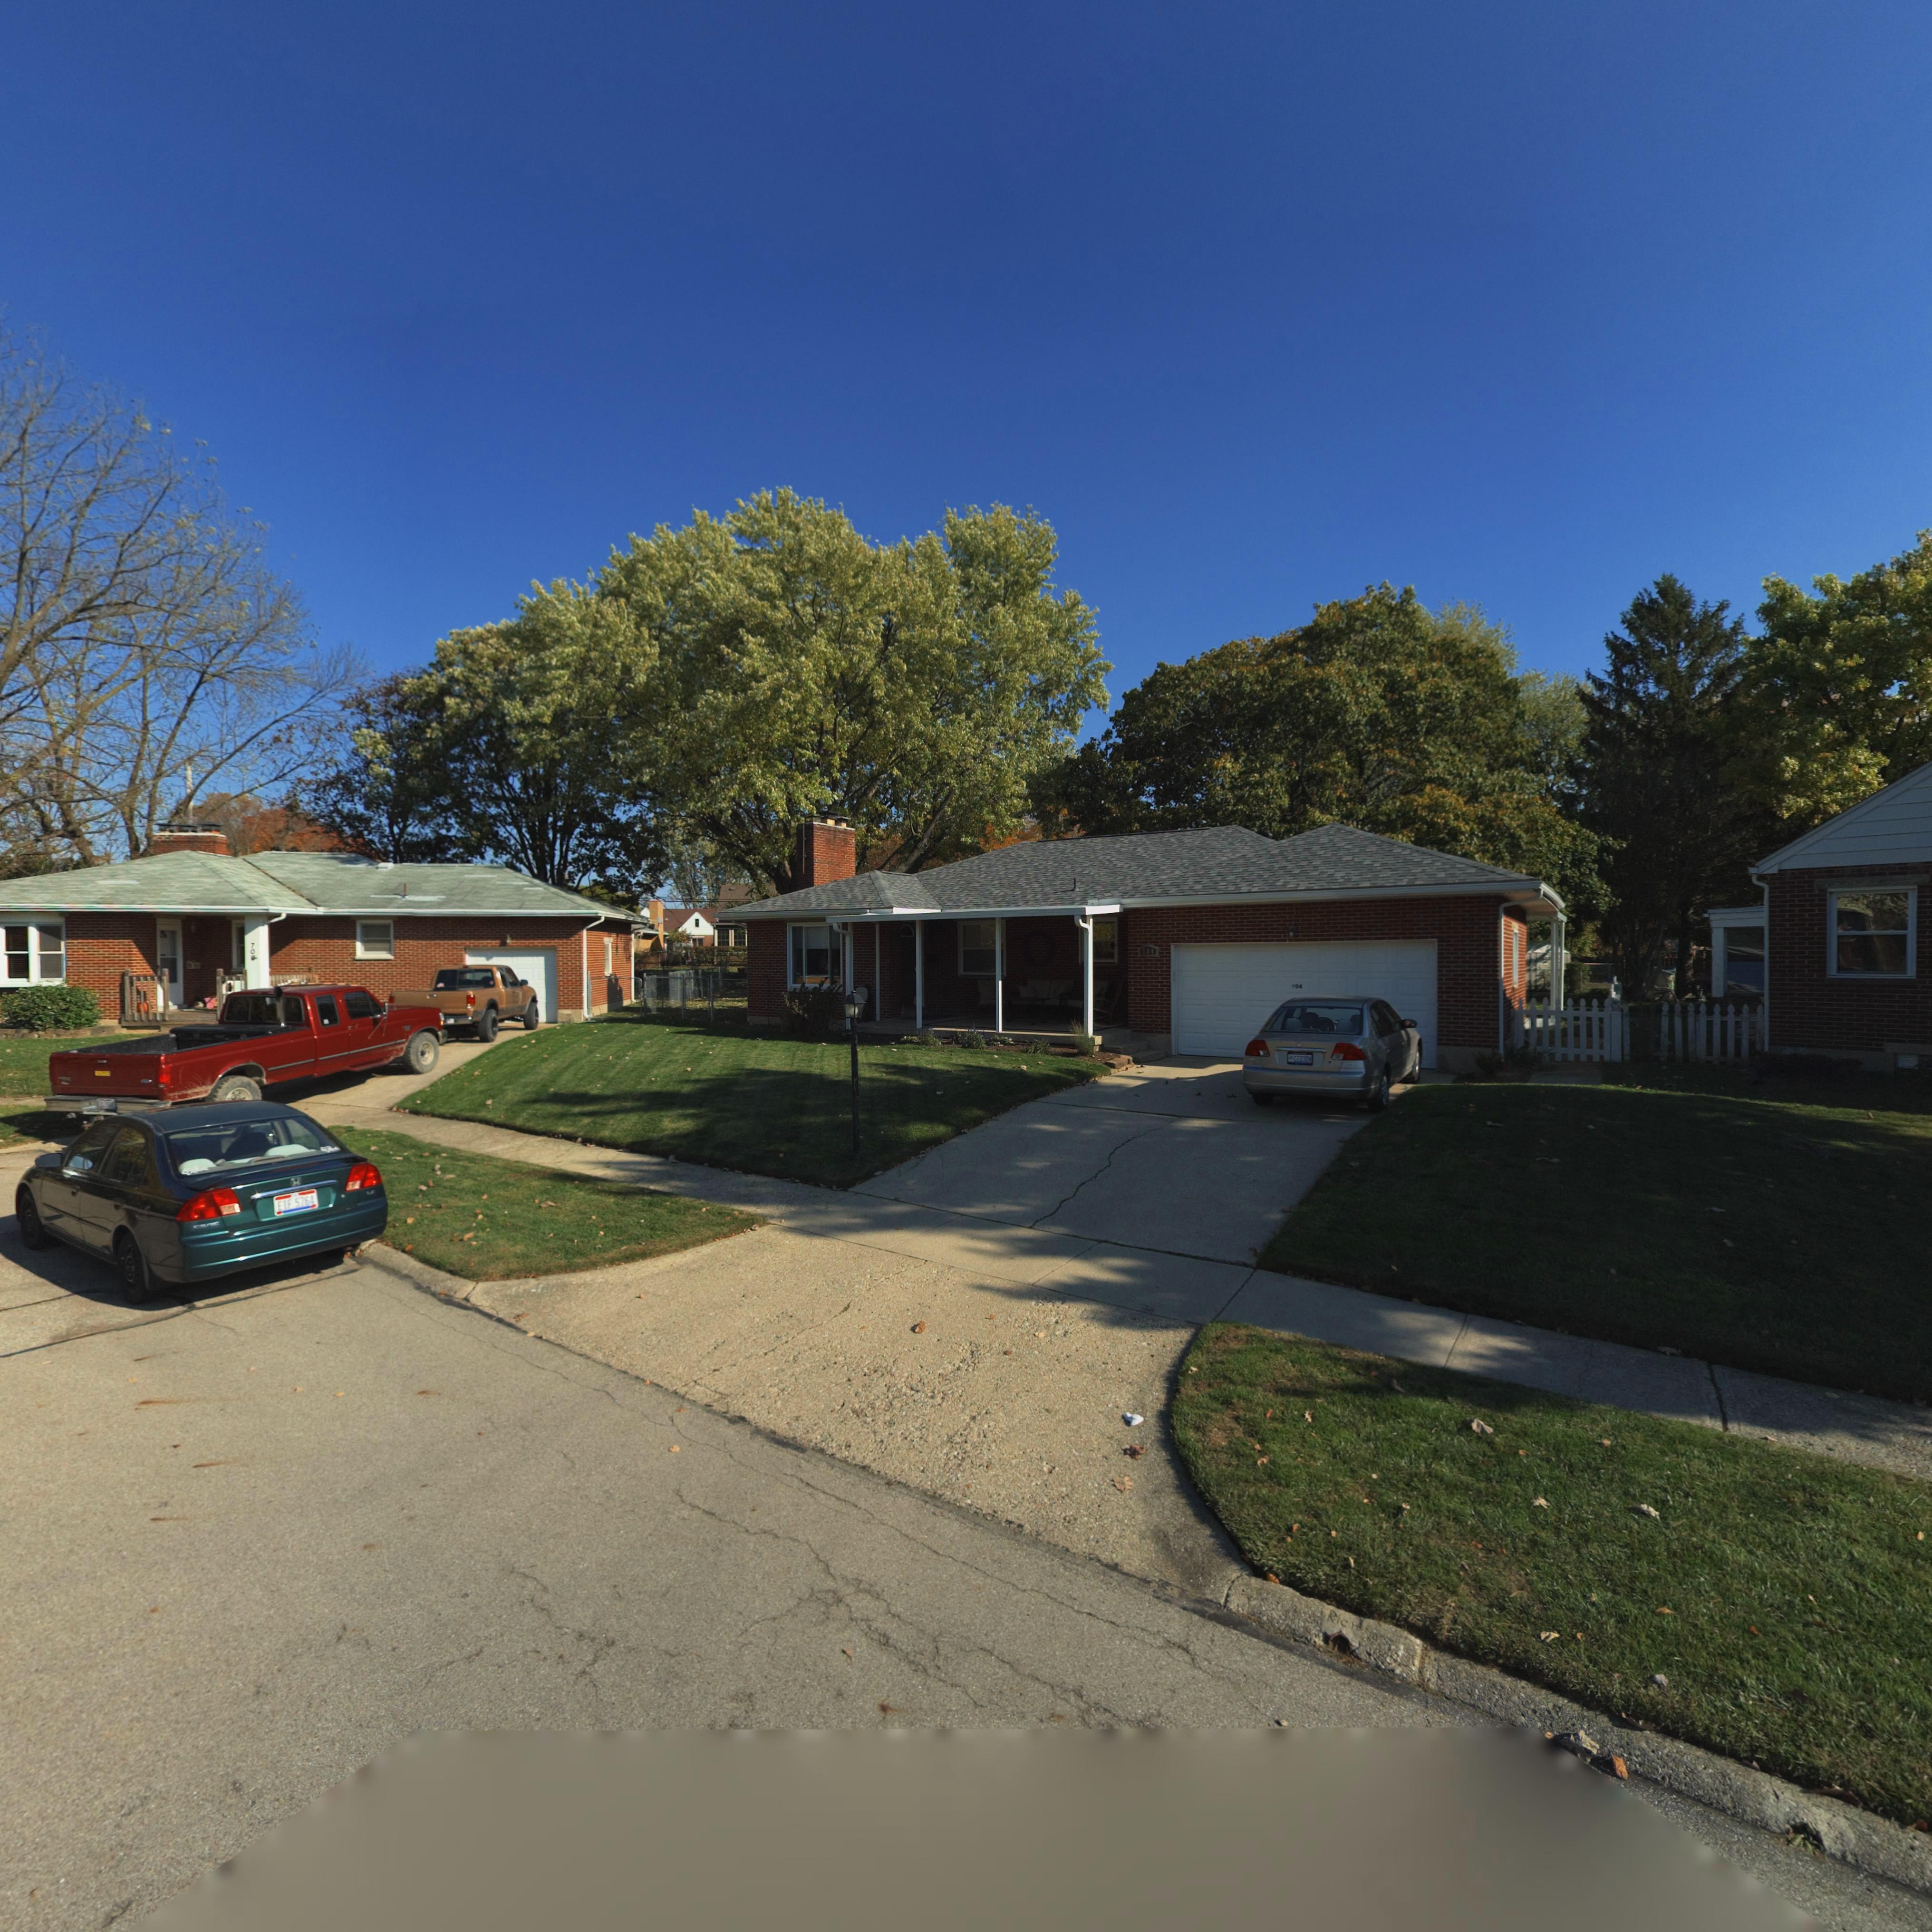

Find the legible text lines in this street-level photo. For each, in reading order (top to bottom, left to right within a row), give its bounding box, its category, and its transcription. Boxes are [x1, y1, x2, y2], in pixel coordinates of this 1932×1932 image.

[251, 942, 255, 961] StreetNumber: 70*
[1142, 948, 1154, 955] StreetNumber: 704
[1290, 984, 1303, 989] StreetNumber: *04
[1294, 1055, 1312, 1063] None: CE03DN
[366, 1189, 376, 1196] None: LX
[277, 1194, 315, 1212] None: ETF*5764
[192, 1221, 220, 1229] None: CIVIC